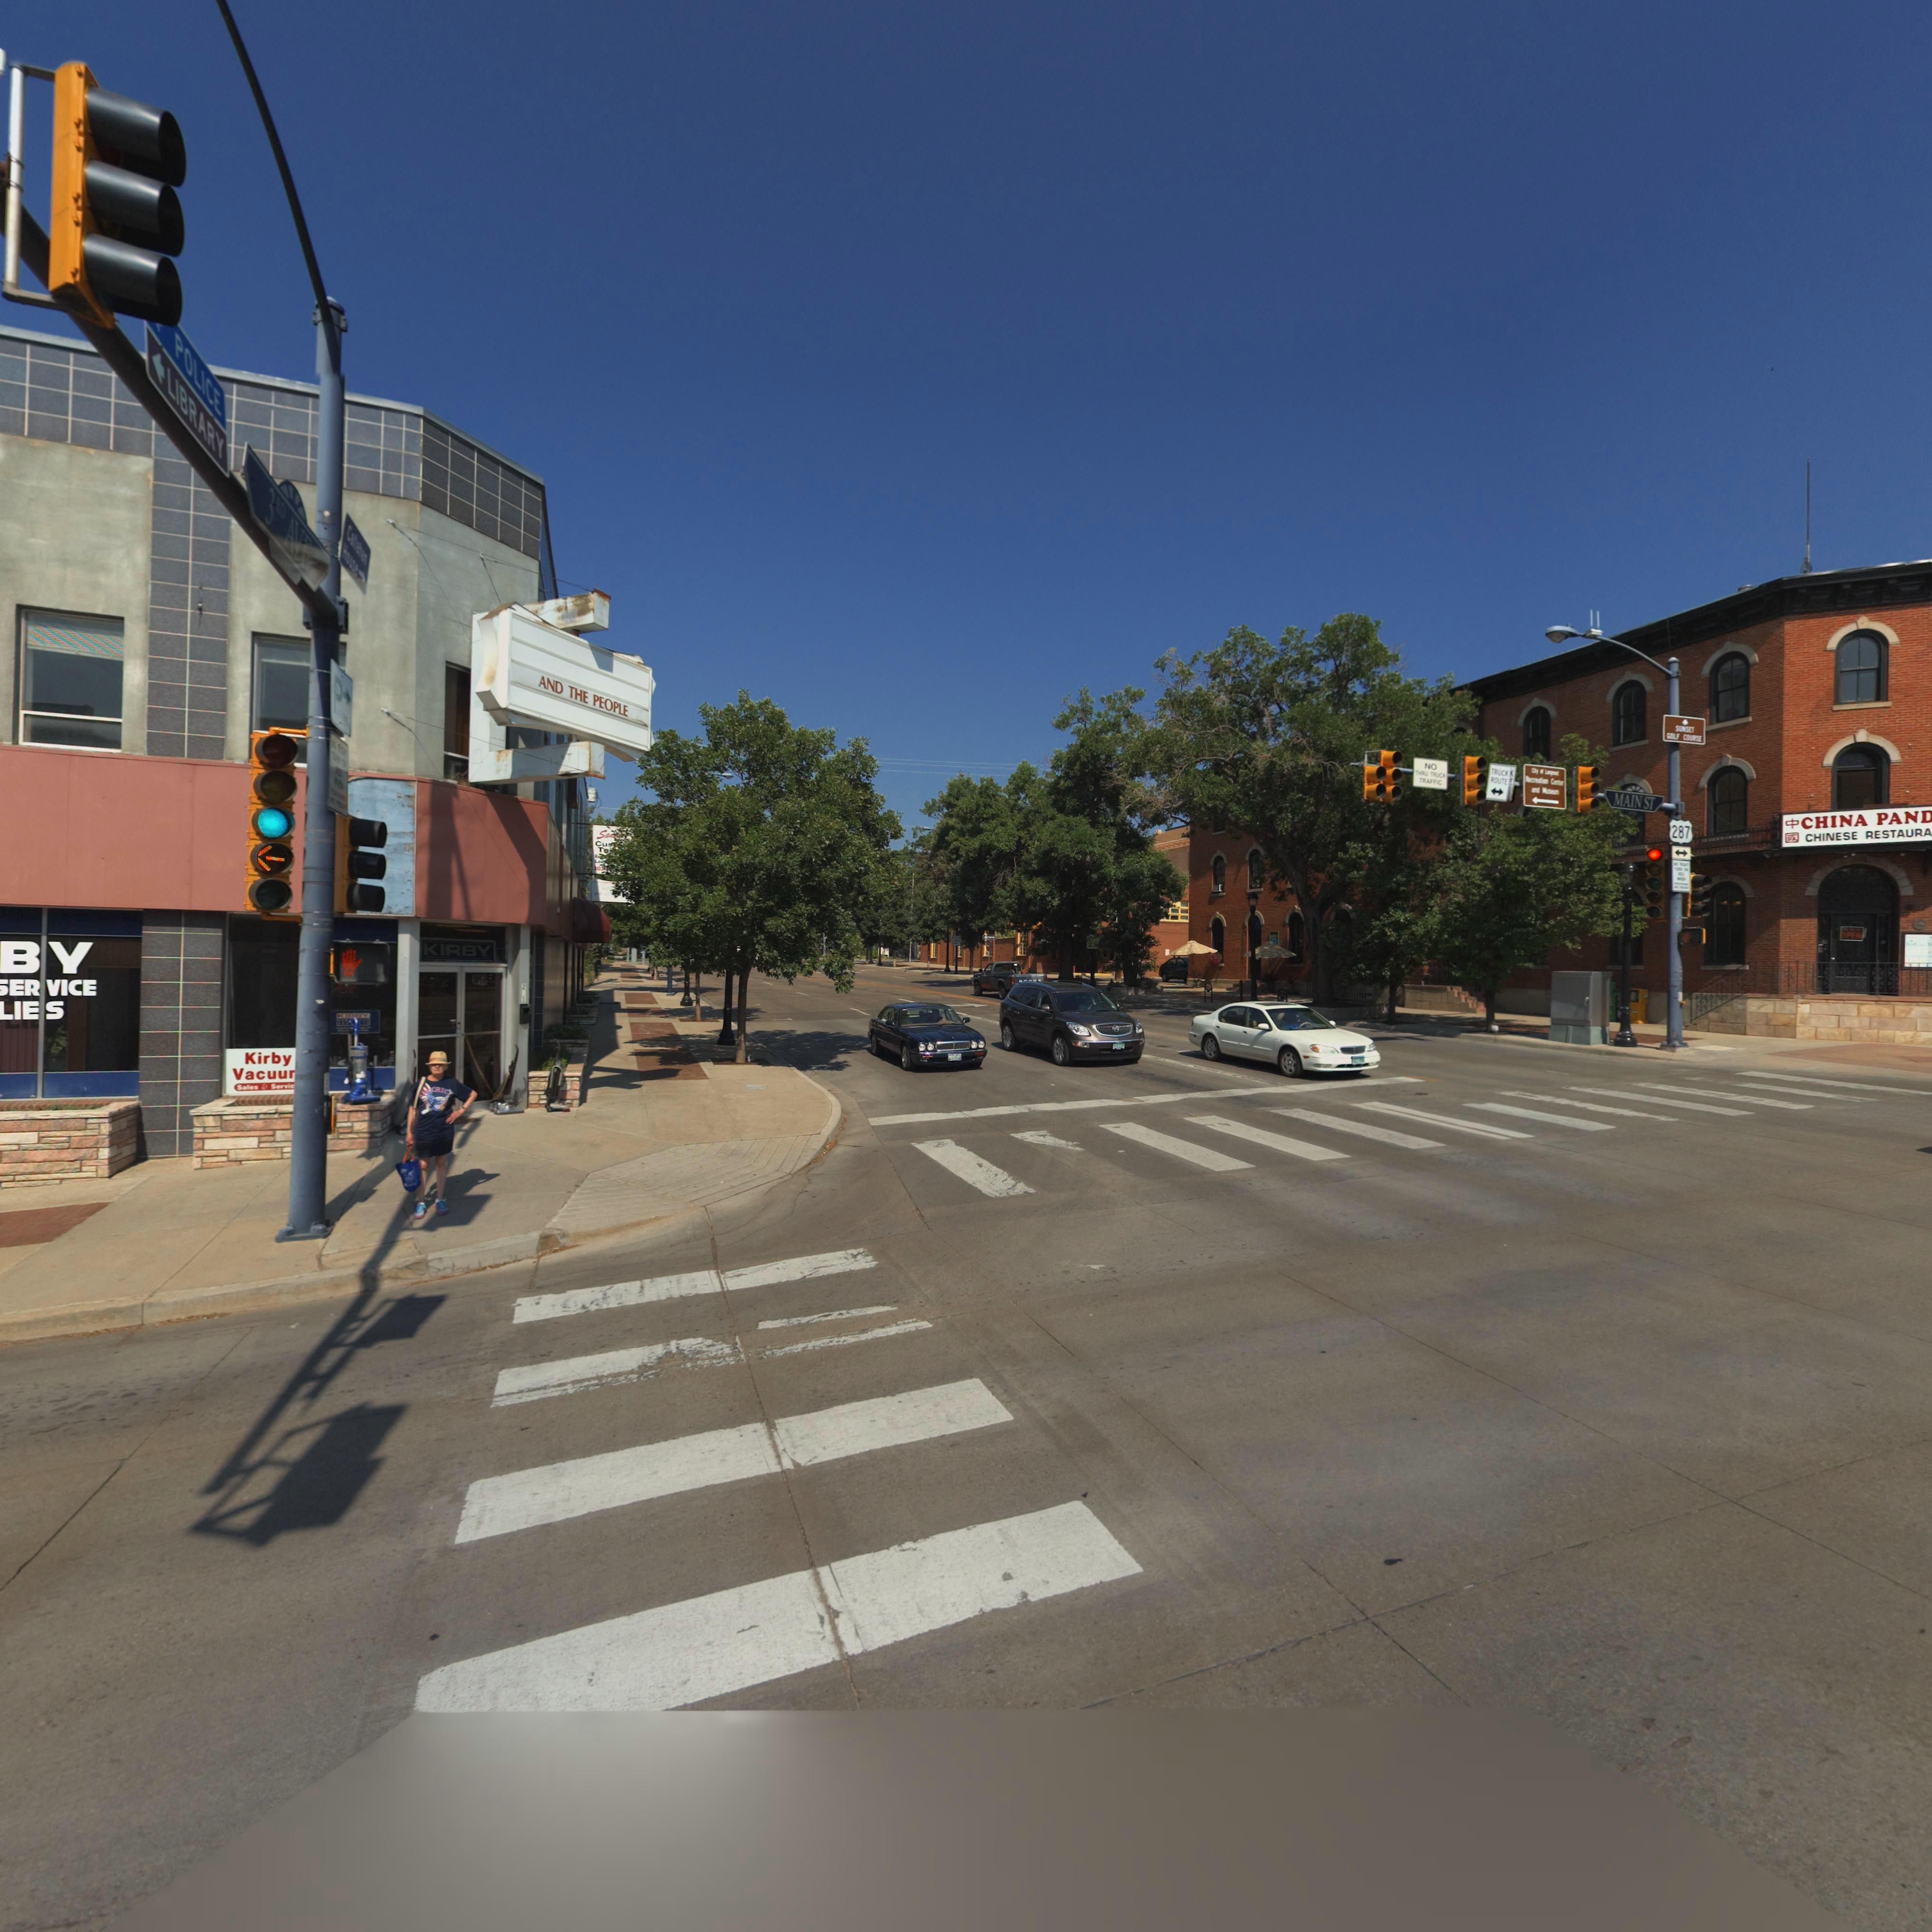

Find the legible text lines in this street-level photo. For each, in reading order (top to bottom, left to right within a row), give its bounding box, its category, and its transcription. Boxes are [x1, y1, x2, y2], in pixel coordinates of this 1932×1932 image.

[263, 483, 314, 576] StreetName: 3*D AVE
[1613, 792, 1656, 810] StreetName: MAIN ST
[1800, 810, 1919, 830] BusinessName: CHINA PAN
[595, 828, 630, 839] BusinessName: Sa**
[1804, 828, 1932, 842] BusinessName: CHINESE RESTAURA
[0, 939, 96, 975] BusinessName: BY
[423, 942, 493, 957] BusinessName: KIRBY
[522, 984, 526, 1002] StreetNumber: 2 1